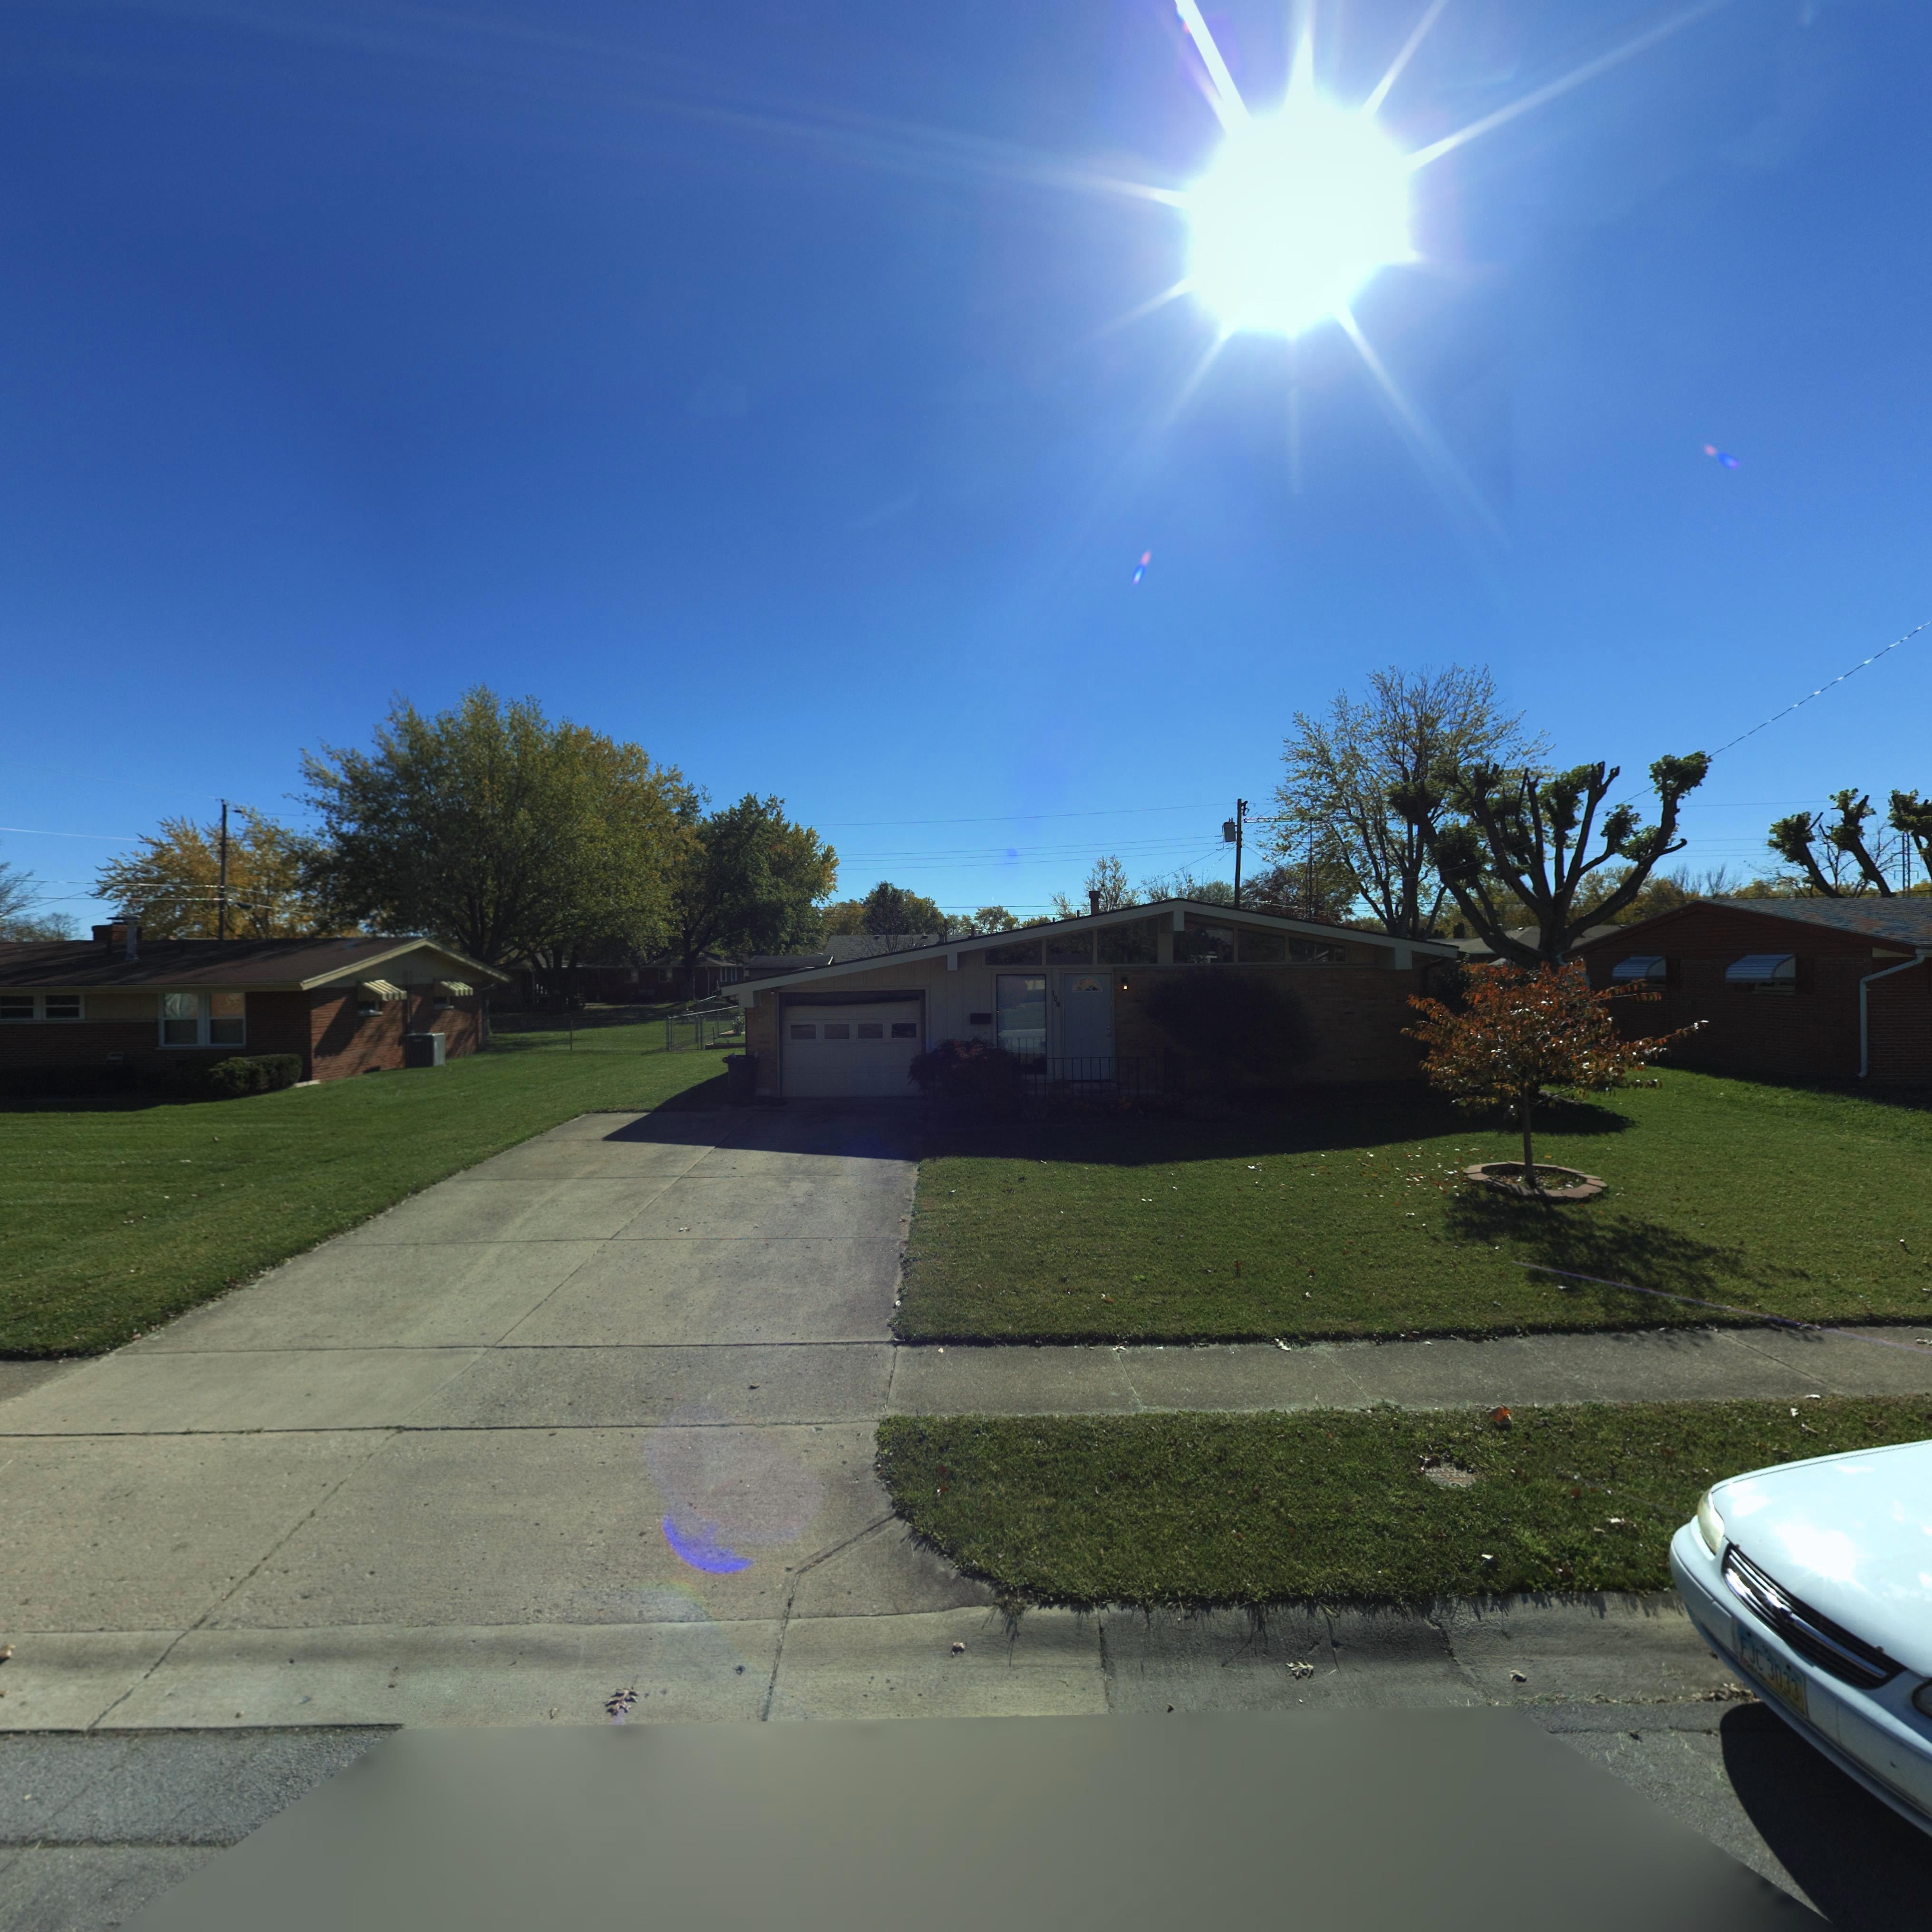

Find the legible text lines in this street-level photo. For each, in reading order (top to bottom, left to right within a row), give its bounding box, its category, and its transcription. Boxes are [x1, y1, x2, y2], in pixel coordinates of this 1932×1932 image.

[1052, 989, 1061, 1008] StreetNumber: 108